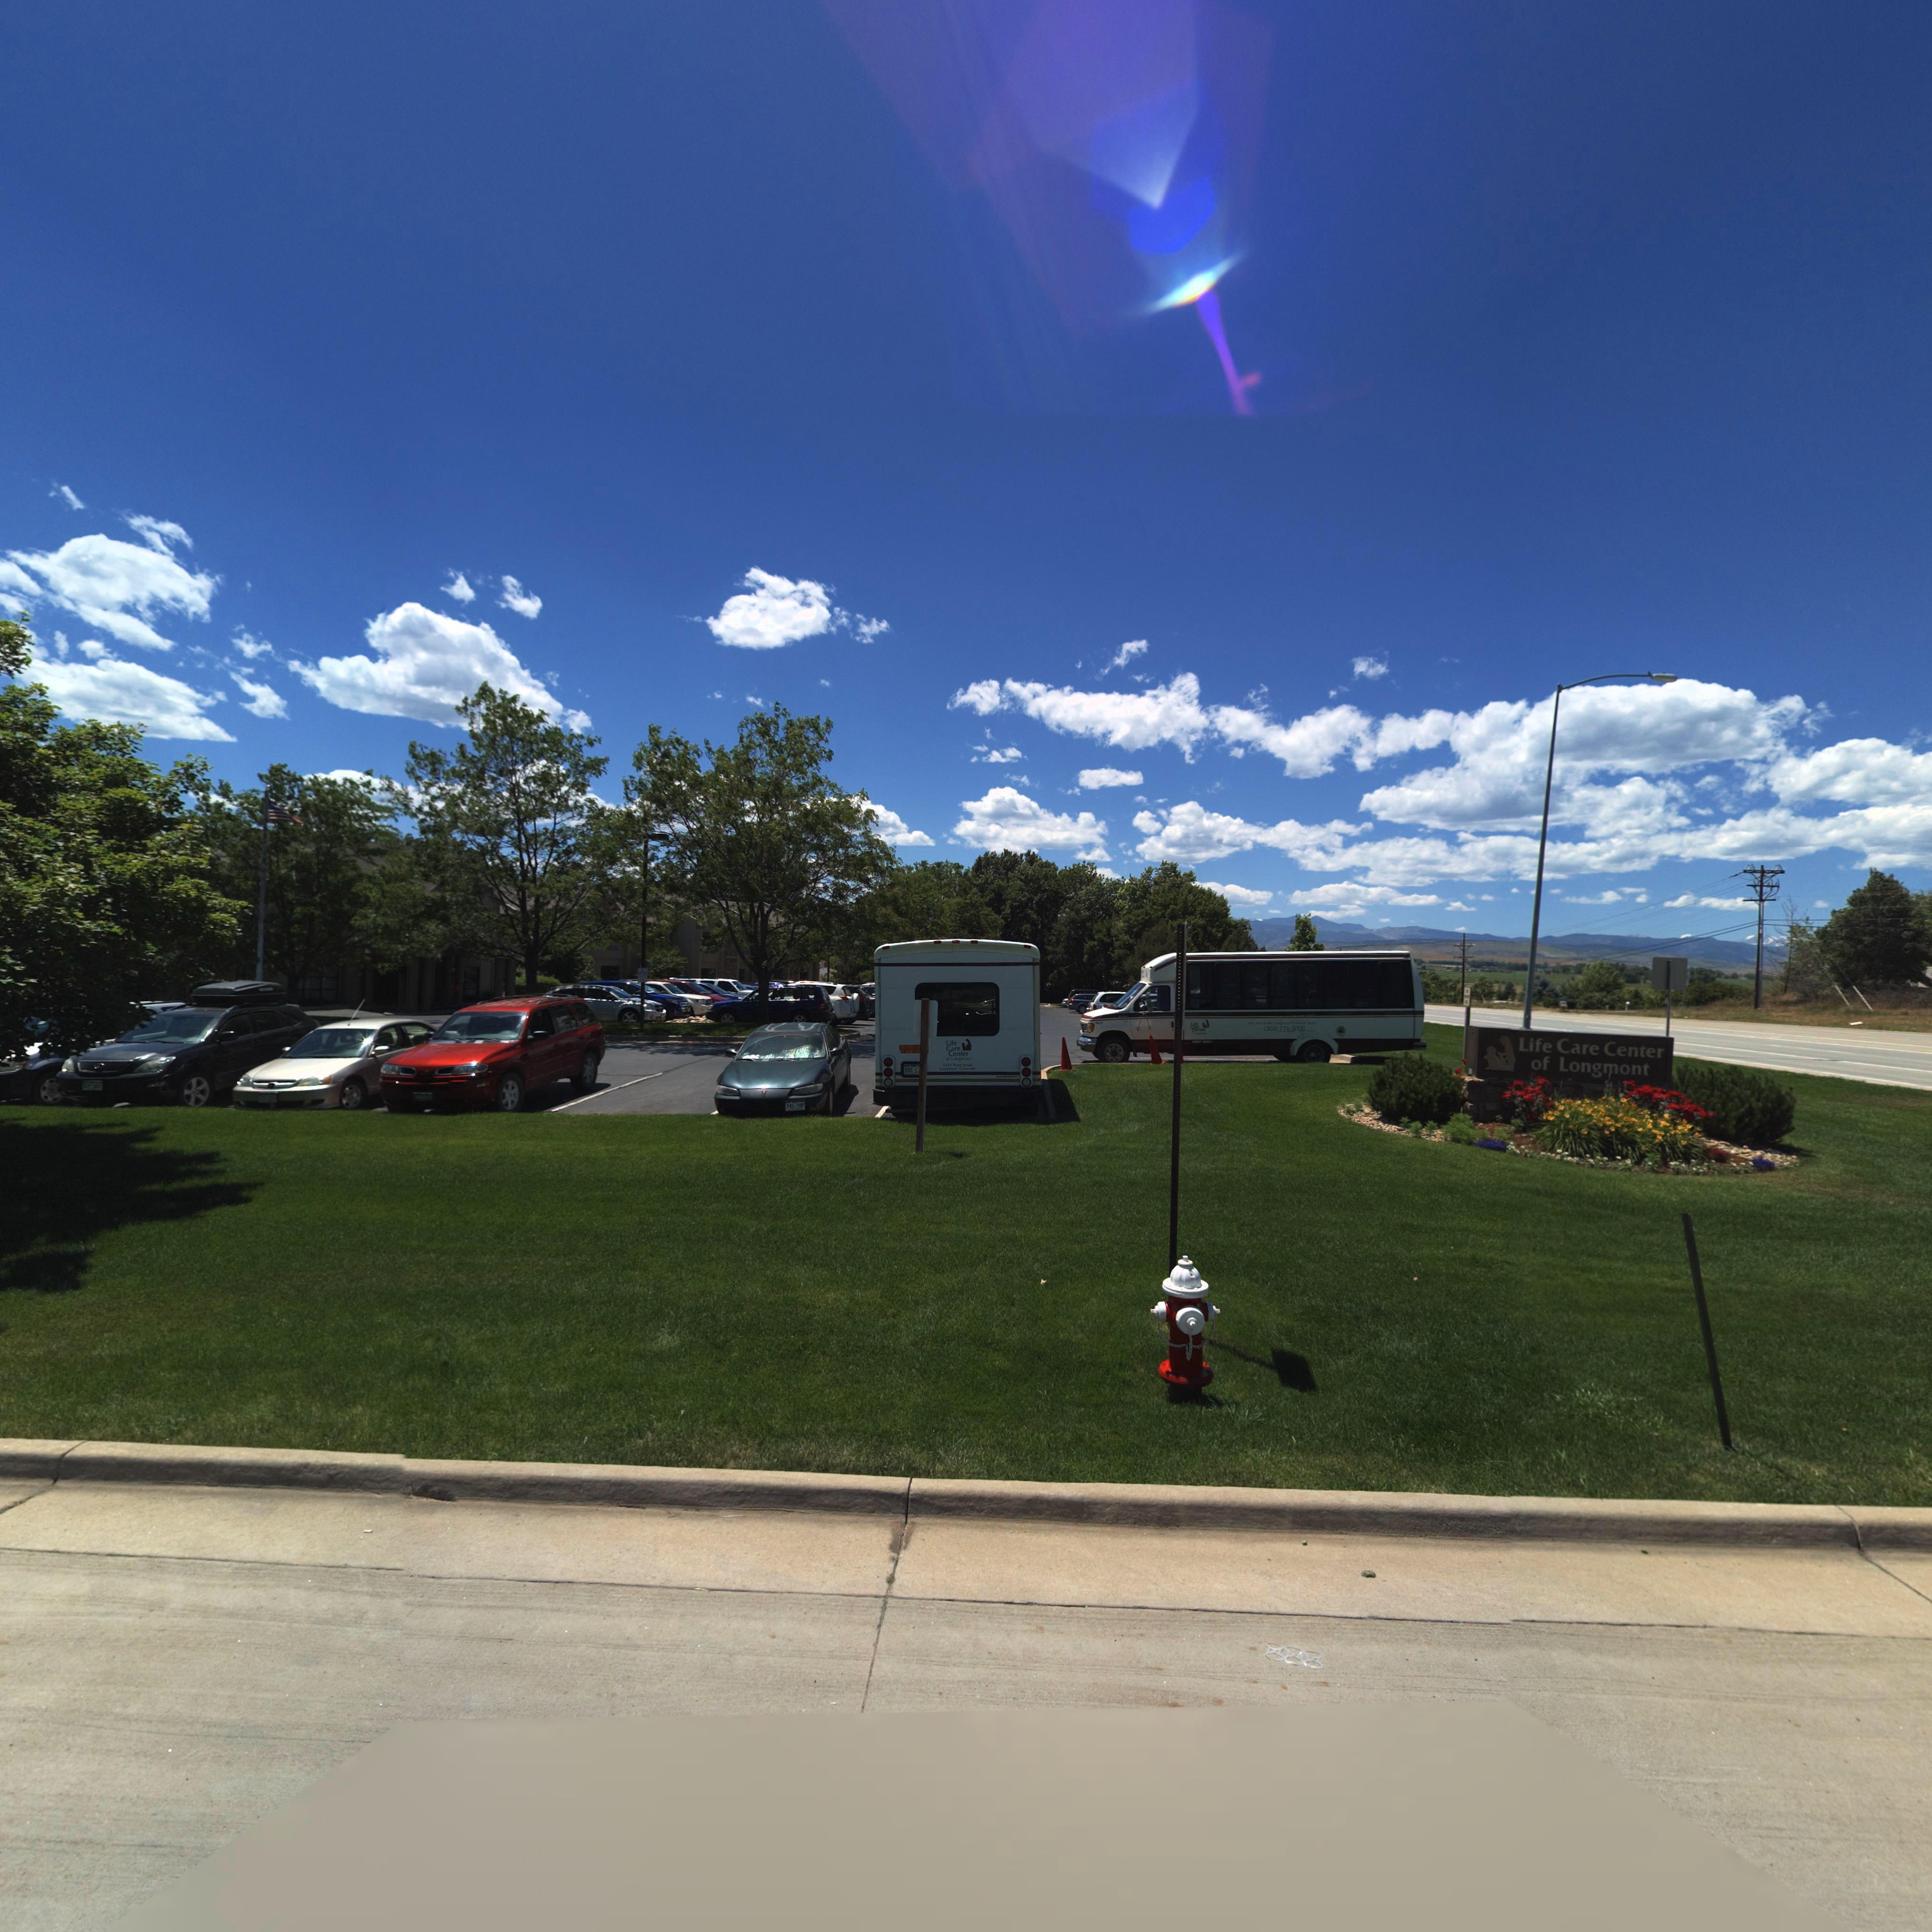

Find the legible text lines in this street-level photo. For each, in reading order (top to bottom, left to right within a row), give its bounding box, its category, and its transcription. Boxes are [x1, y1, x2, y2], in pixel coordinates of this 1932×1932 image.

[1518, 1034, 1665, 1060] BusinessName: Life Care Center
[1531, 1056, 1649, 1079] BusinessName: of Longmont